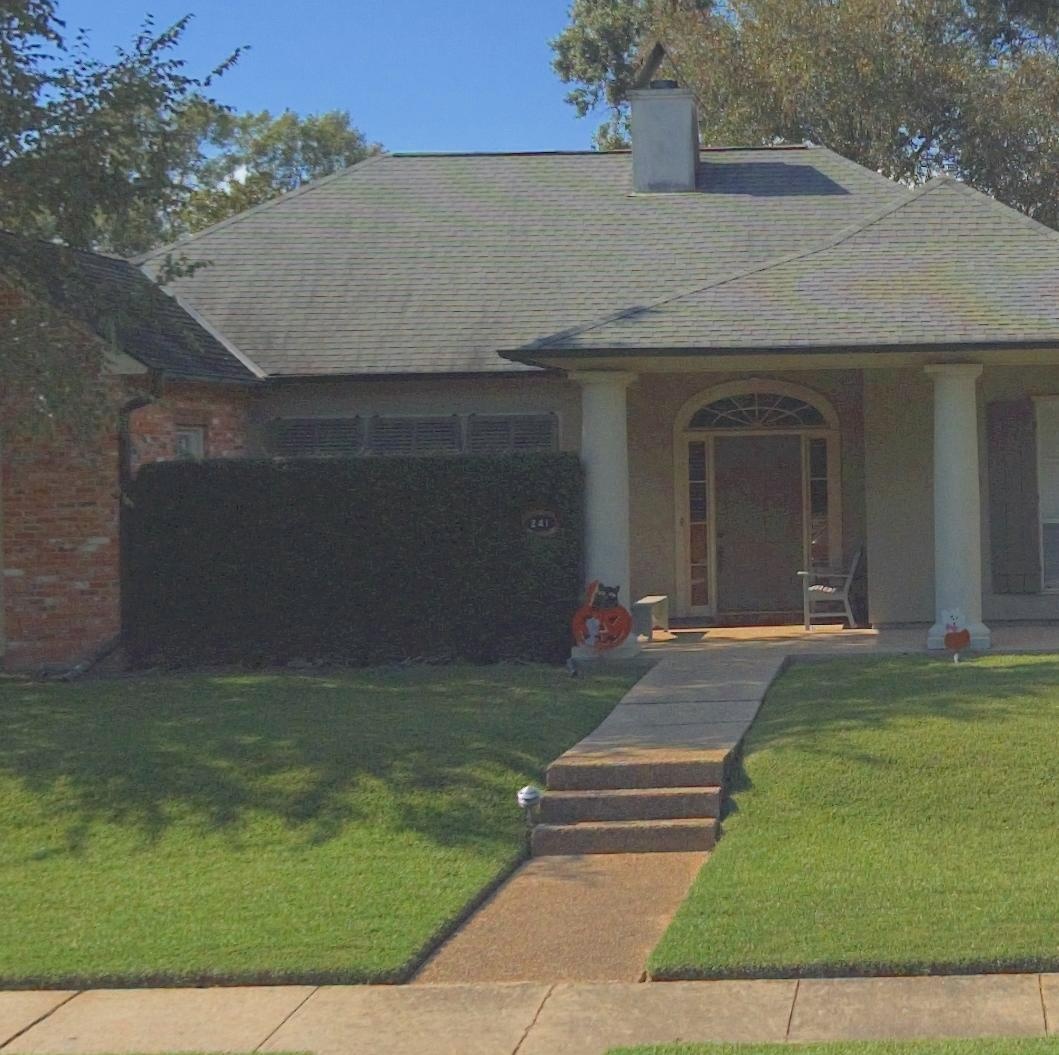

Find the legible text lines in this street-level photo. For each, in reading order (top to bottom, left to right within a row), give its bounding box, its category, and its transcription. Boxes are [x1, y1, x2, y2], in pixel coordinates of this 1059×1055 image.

[530, 519, 549, 528] StreetNumber: 241